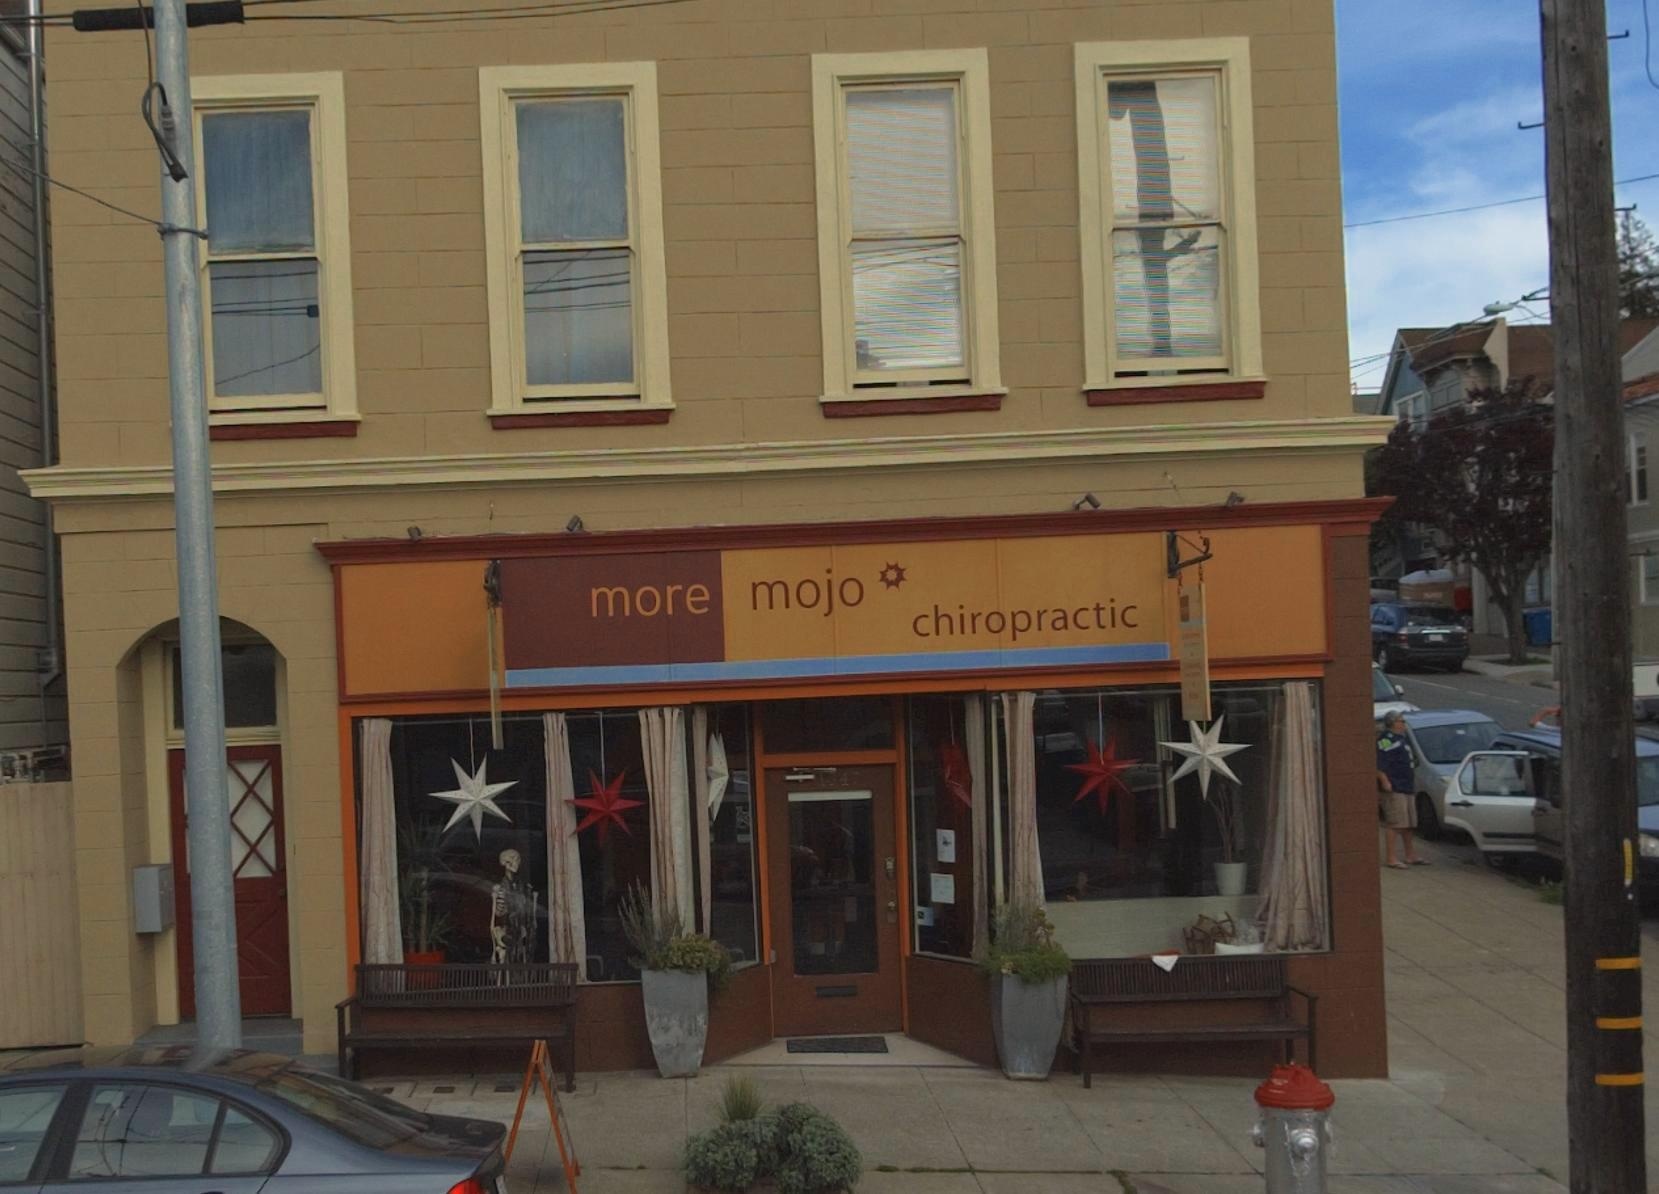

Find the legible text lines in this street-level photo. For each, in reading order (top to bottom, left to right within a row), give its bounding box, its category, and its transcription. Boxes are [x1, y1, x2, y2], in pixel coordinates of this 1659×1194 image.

[588, 567, 865, 621] BusinessName: More Mojo Chiropractic
[912, 597, 1140, 641] BusinessName: chiropractic